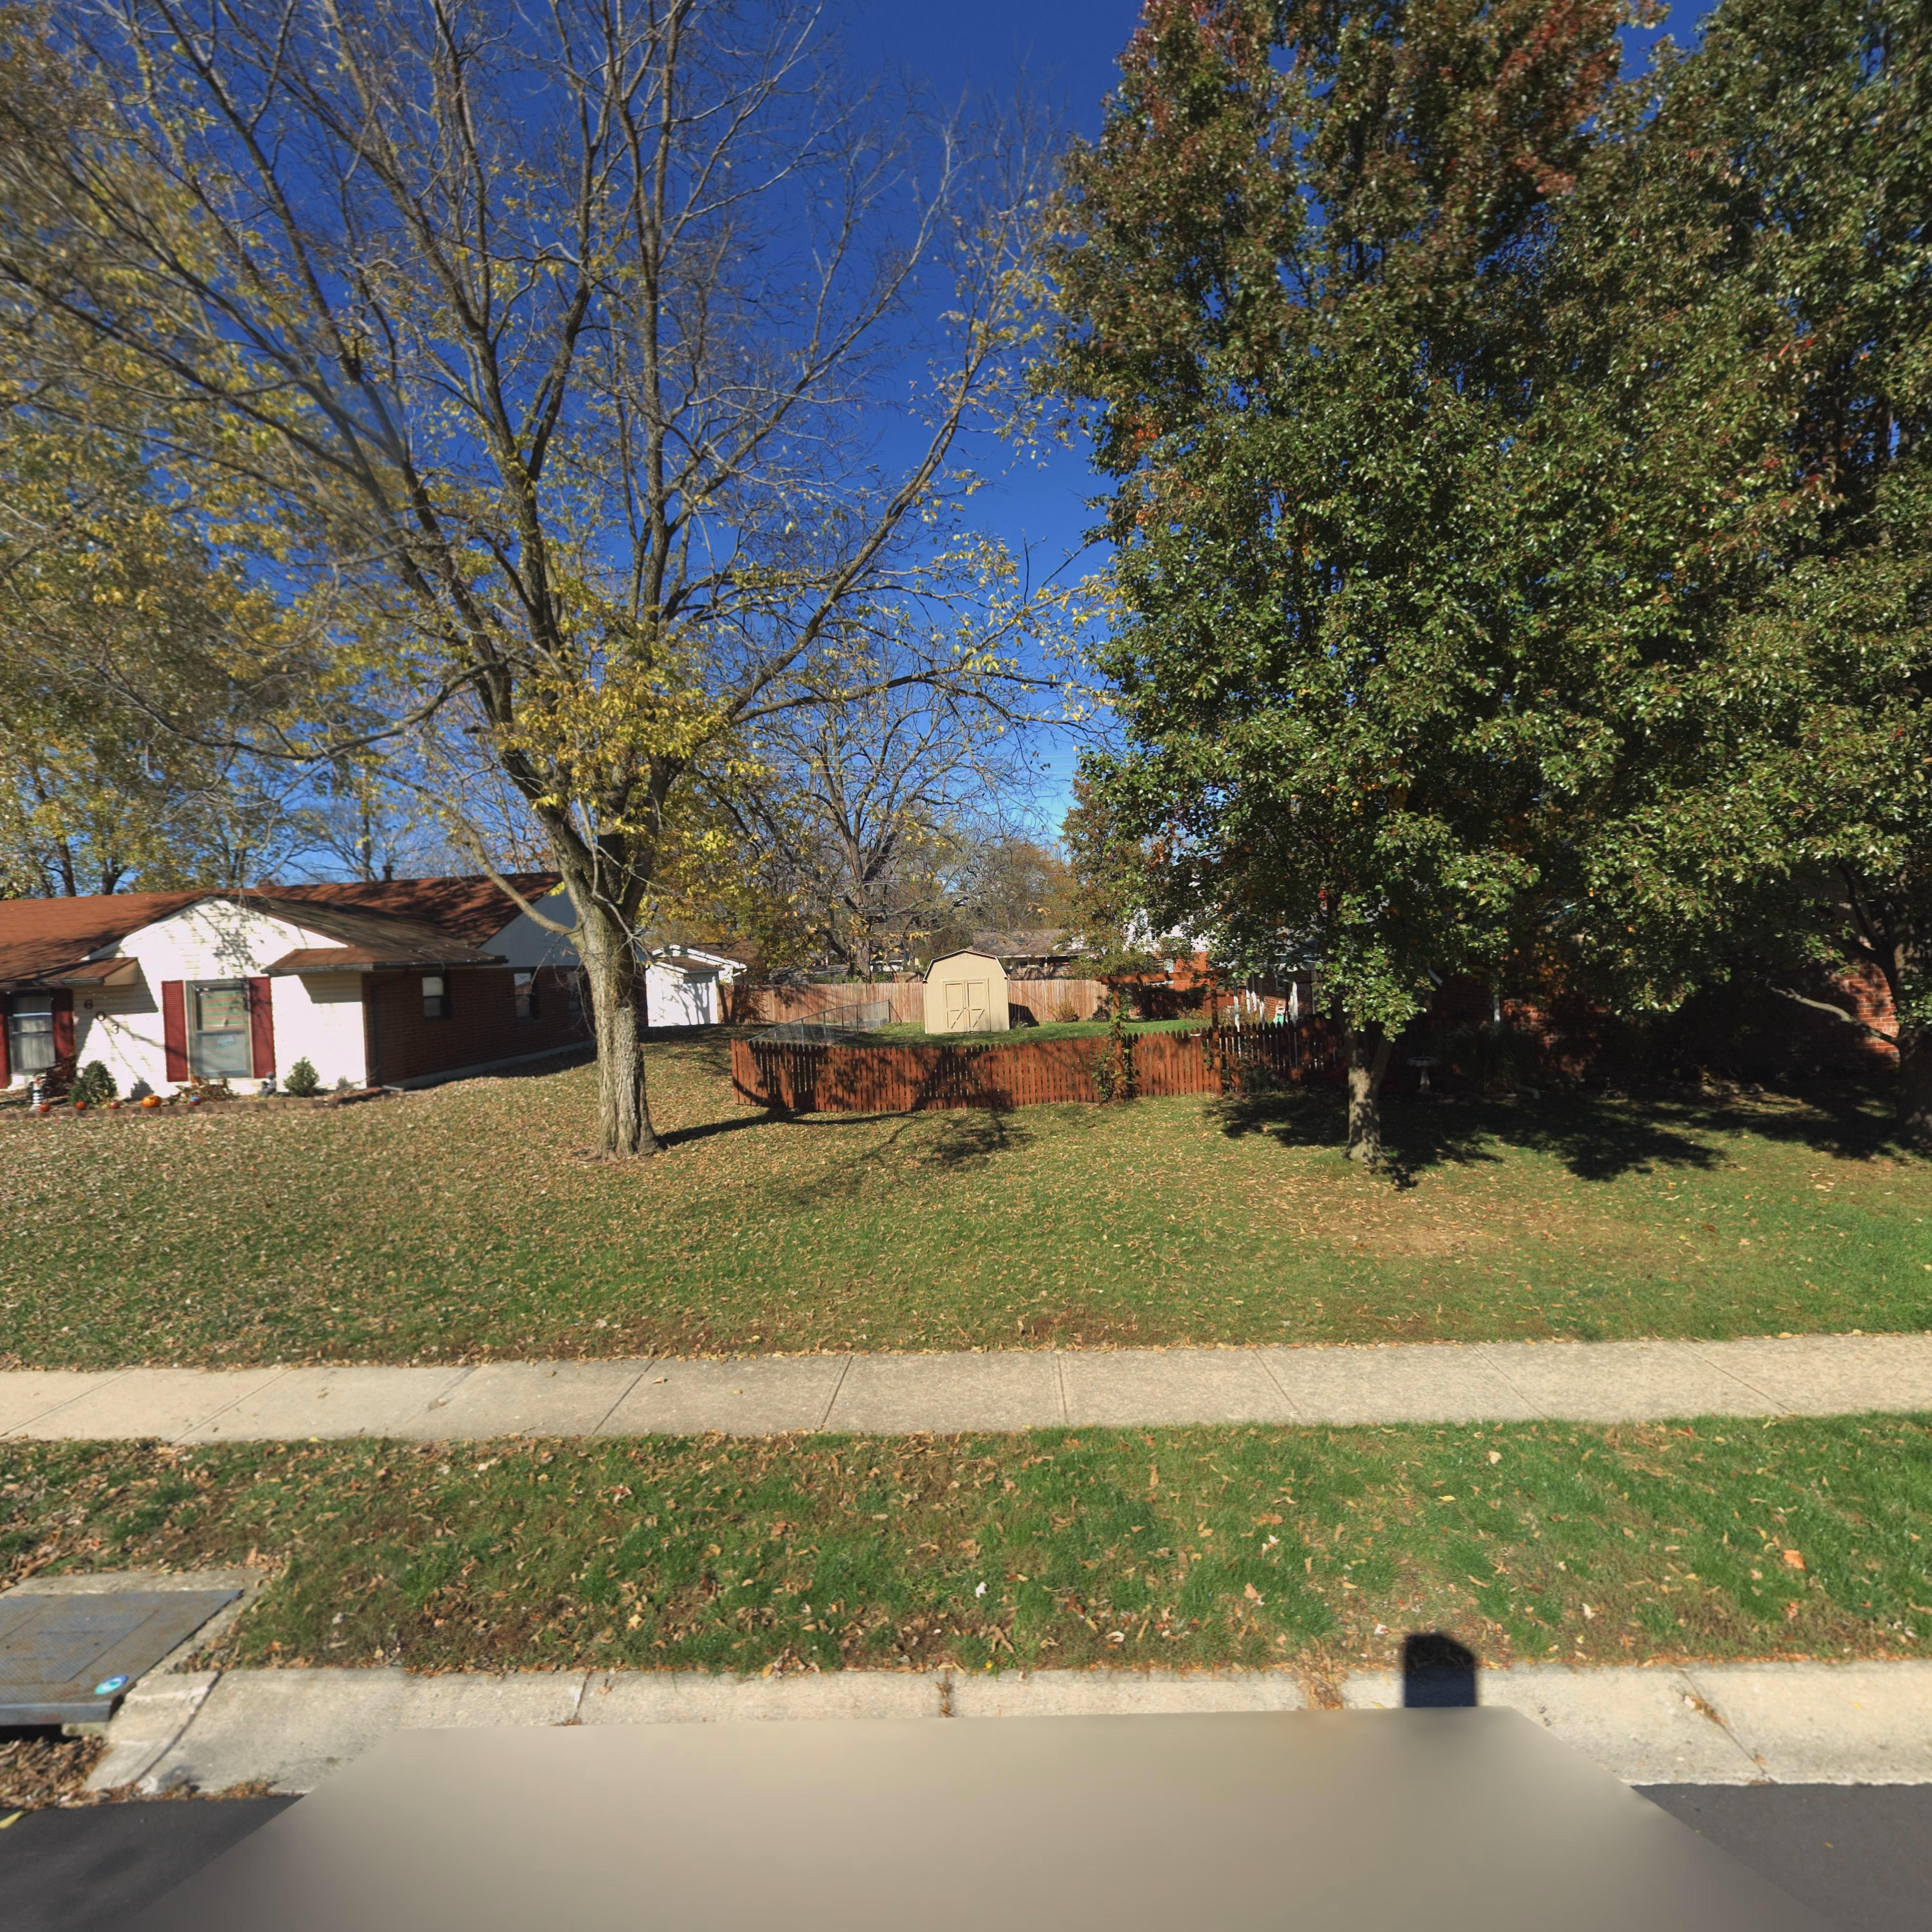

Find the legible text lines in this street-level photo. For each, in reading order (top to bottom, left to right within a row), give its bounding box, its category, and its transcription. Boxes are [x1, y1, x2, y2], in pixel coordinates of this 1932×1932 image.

[84, 999, 120, 1035] StreetNumber: 603